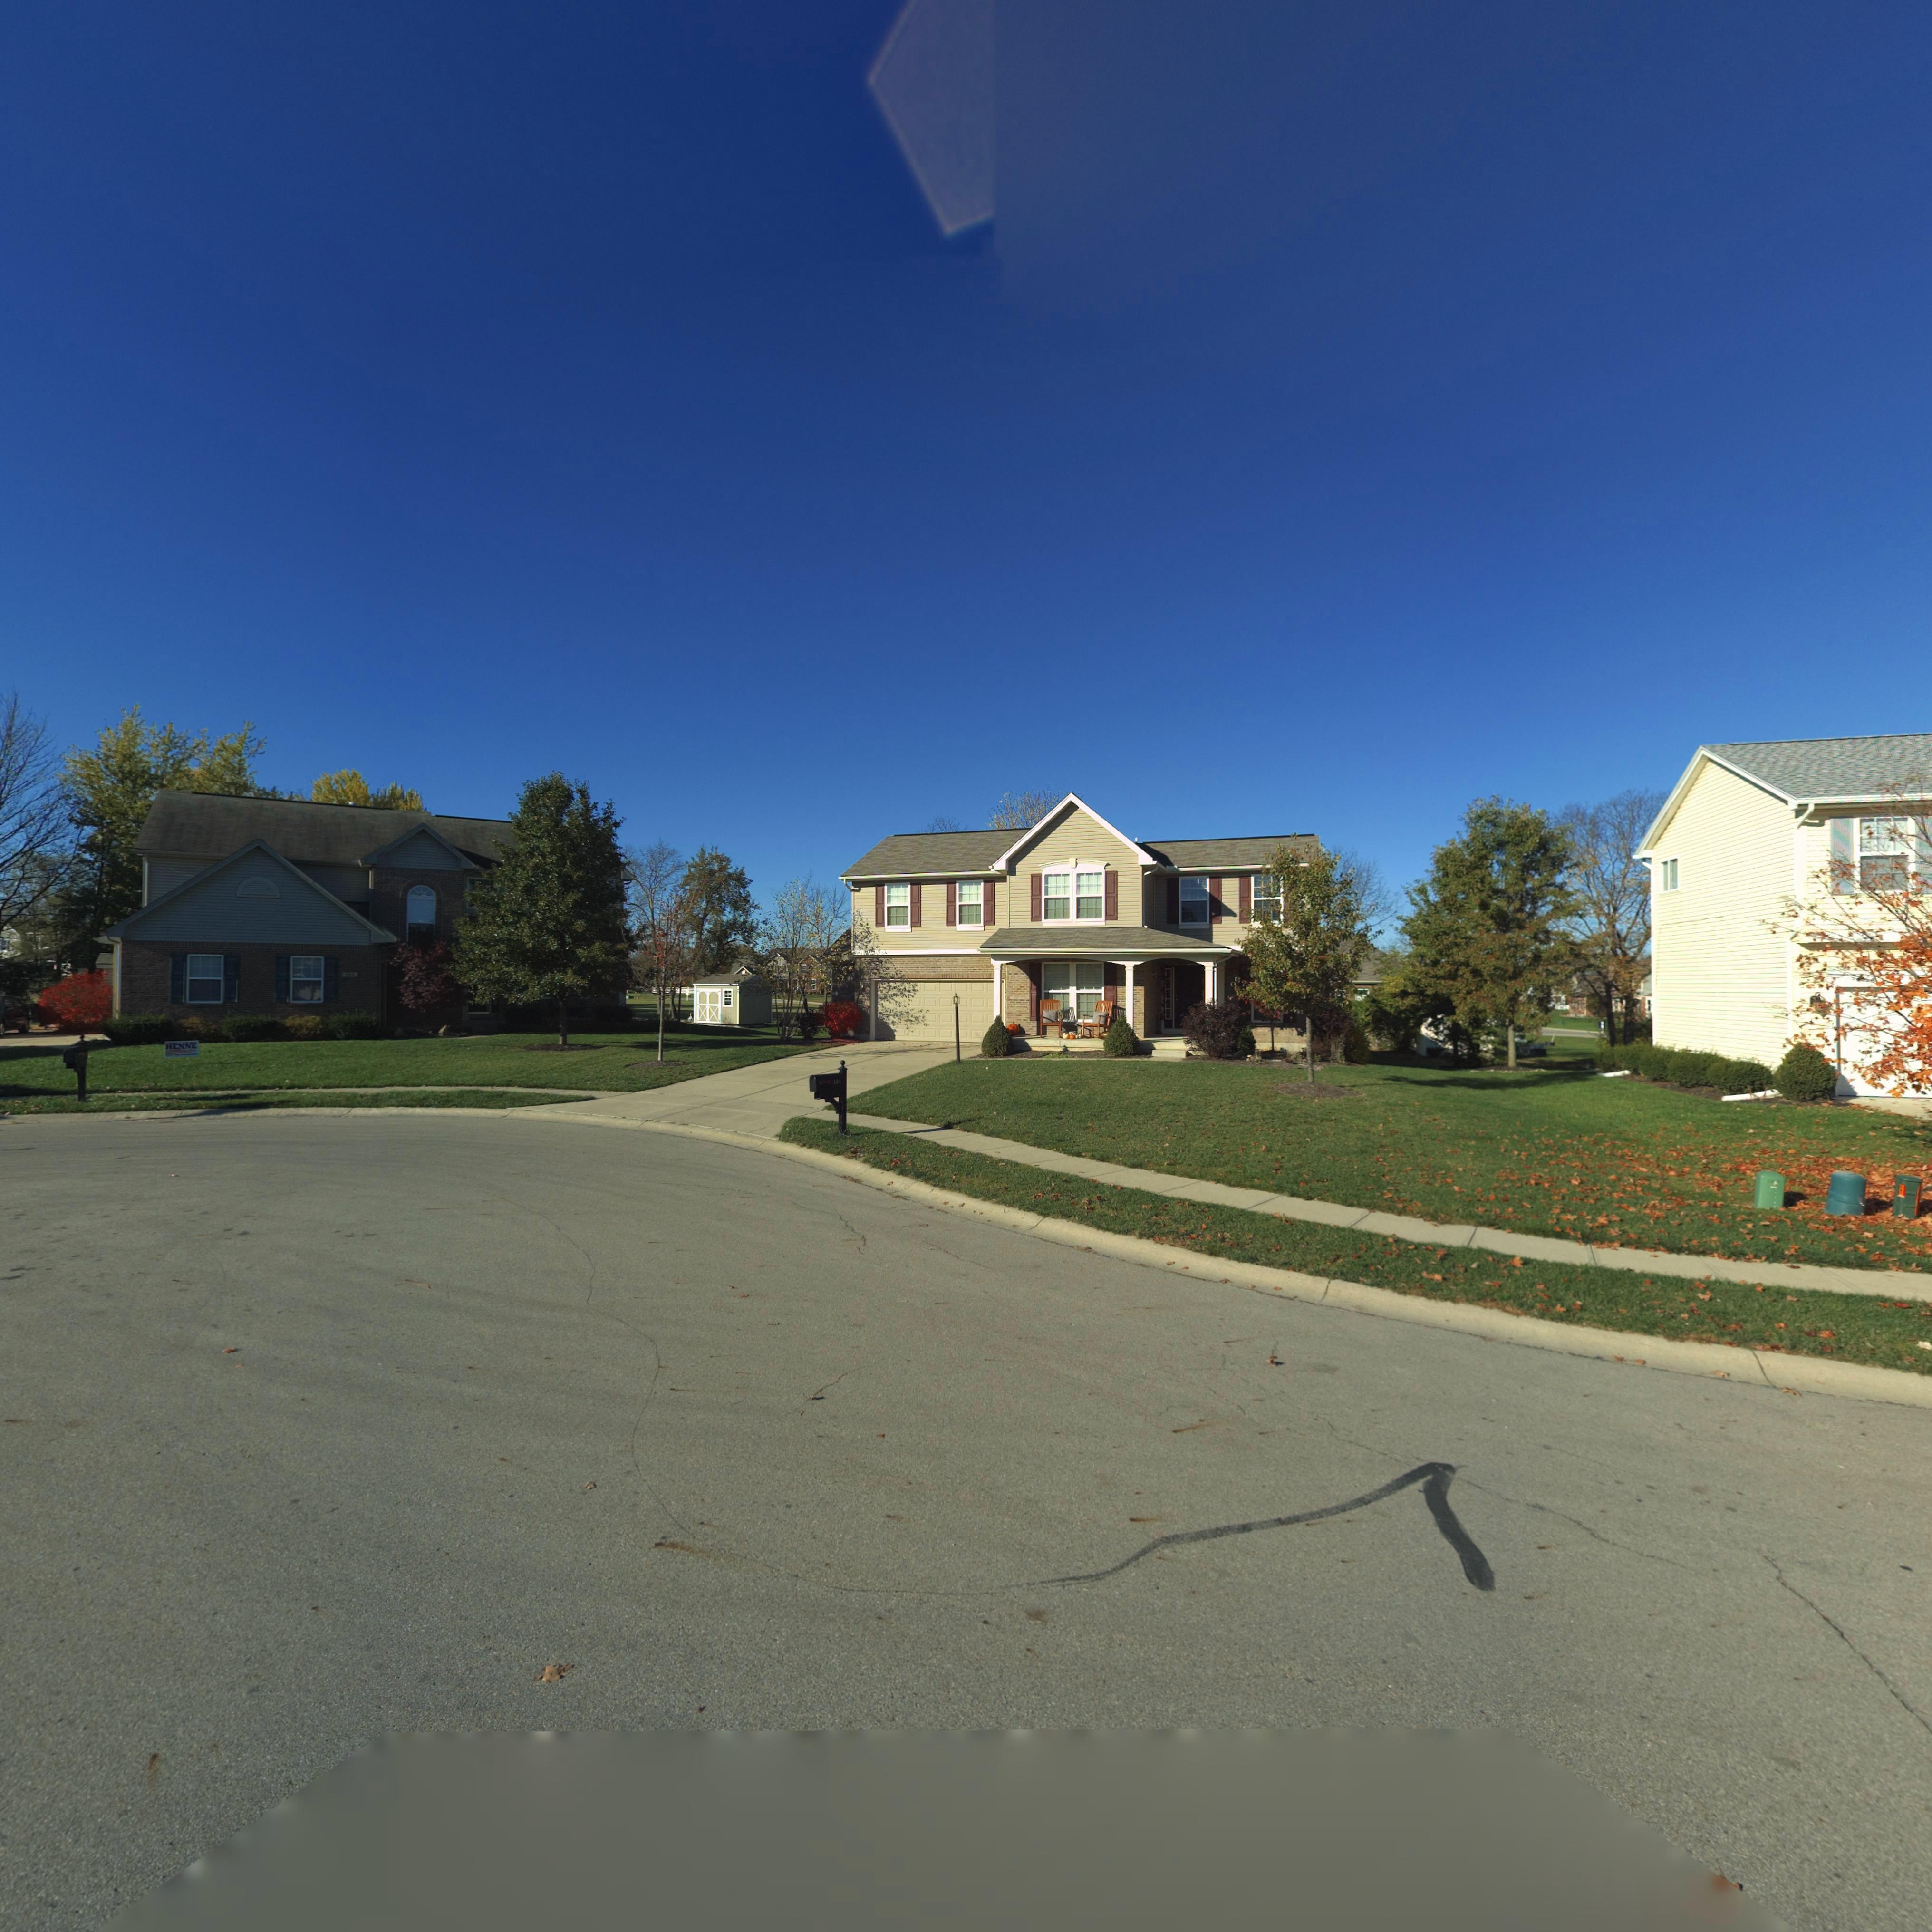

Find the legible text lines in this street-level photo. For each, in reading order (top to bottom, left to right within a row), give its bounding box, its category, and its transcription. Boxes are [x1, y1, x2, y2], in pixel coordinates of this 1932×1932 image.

[833, 1078, 842, 1085] StreetNumber: 1*4